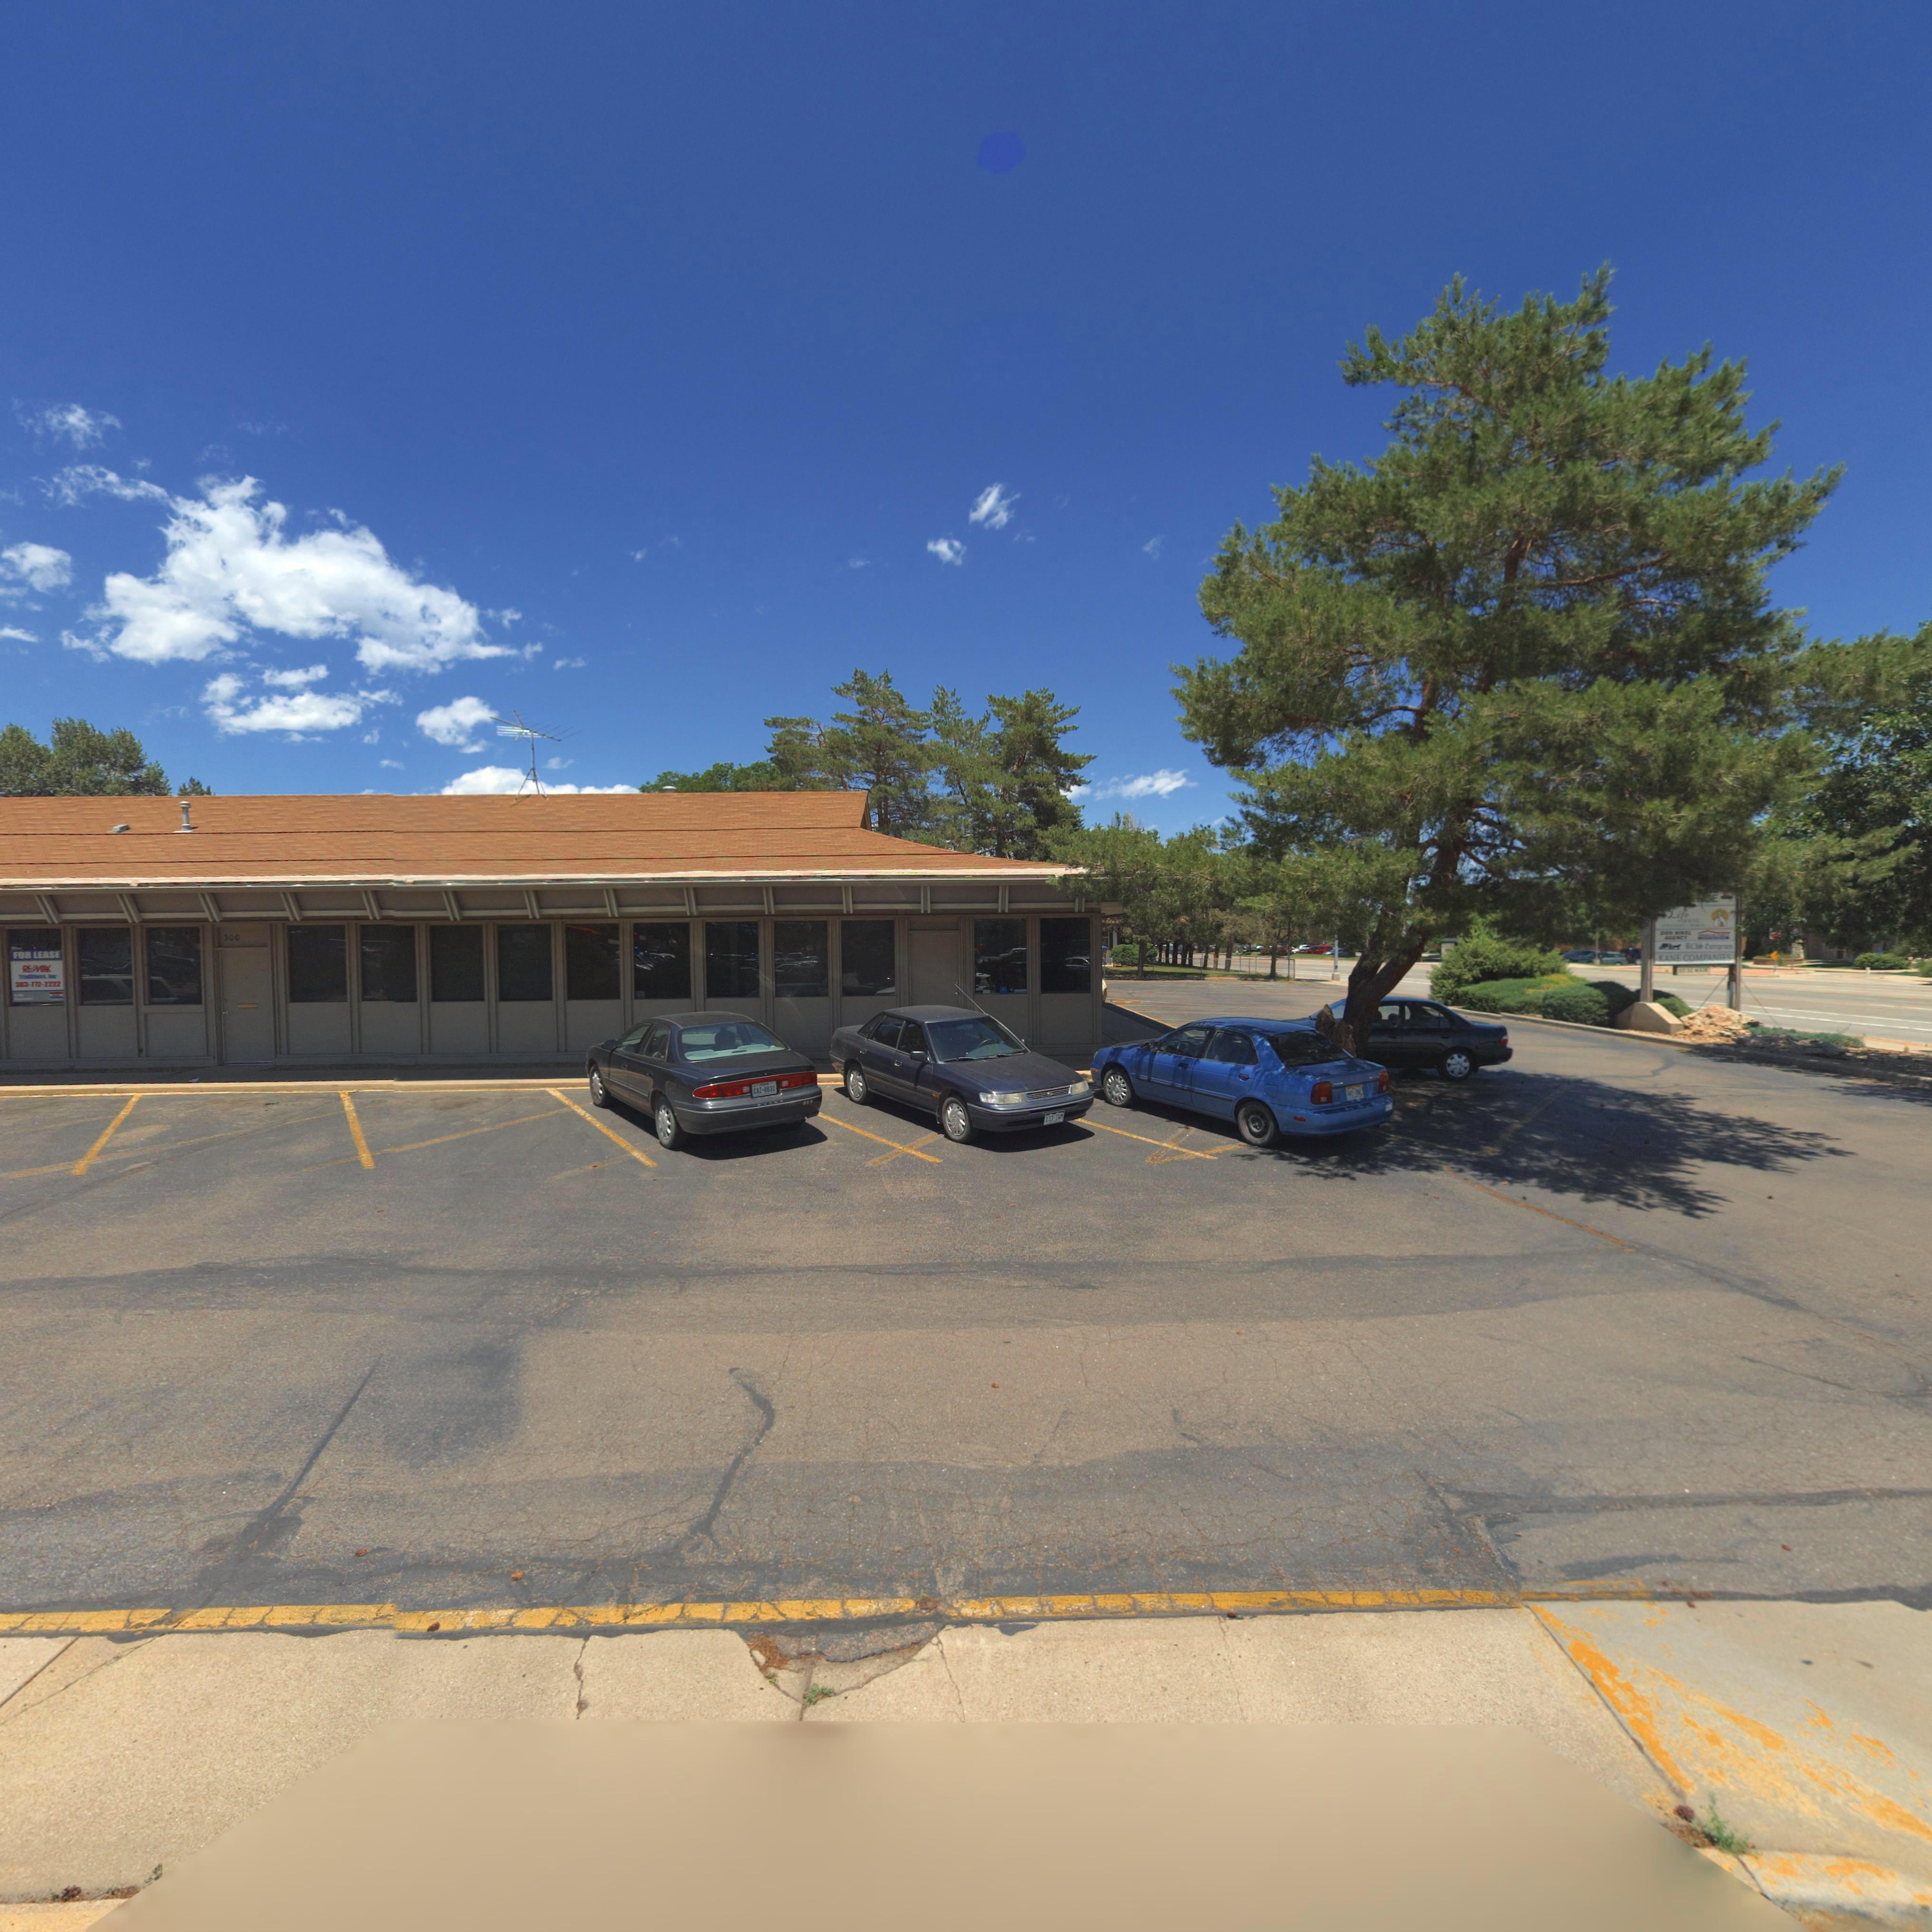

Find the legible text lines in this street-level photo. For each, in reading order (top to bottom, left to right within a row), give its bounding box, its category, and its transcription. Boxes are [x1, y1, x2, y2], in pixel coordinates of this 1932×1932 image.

[1668, 908, 1689, 922] BusinessName: Life
[223, 932, 240, 941] StreetNumber: 300
[1659, 930, 1673, 936] BusinessName: DON
[1658, 953, 1731, 962] BusinessName: KANE COMPANIES